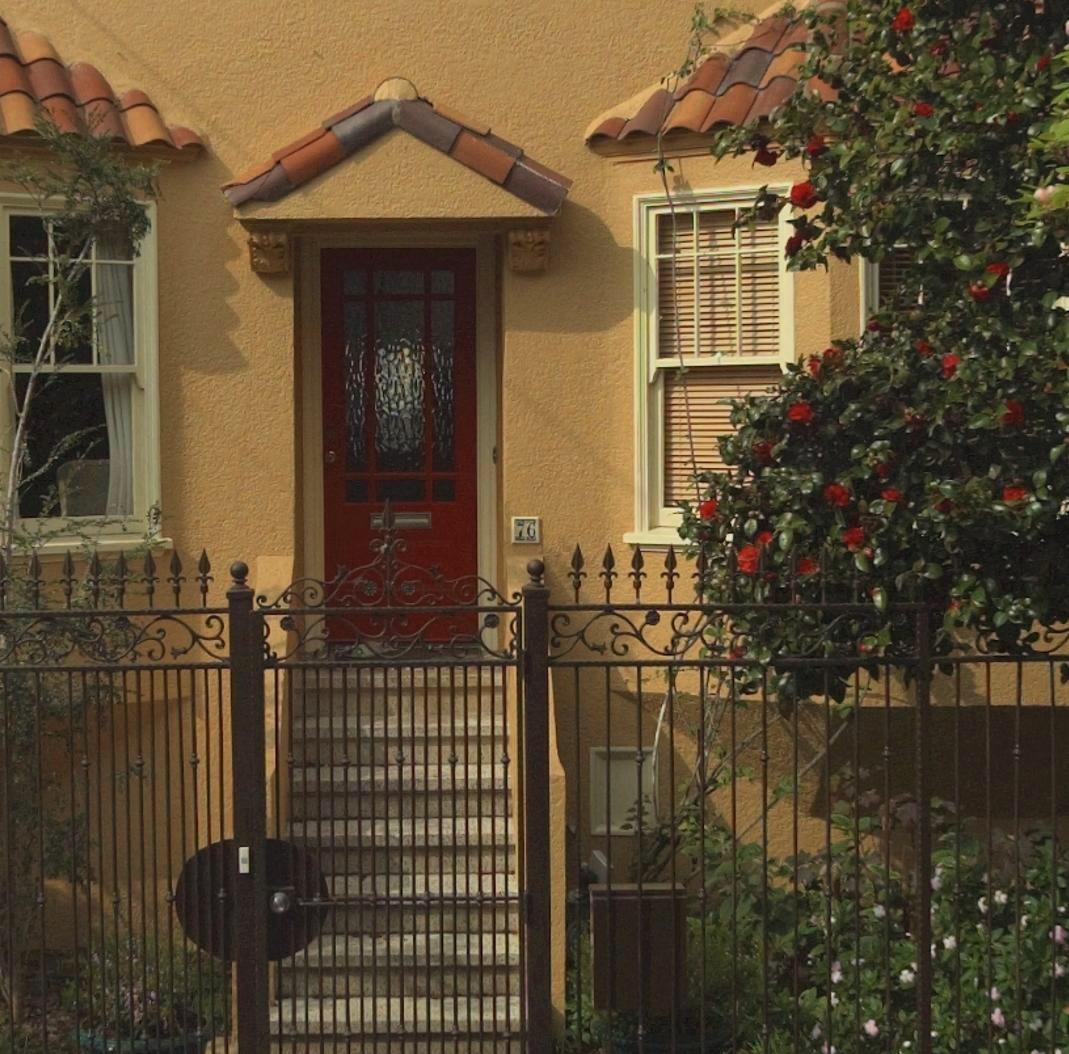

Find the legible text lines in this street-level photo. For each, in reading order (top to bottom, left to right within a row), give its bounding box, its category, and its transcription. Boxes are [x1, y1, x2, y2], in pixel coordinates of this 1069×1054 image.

[515, 519, 537, 538] StreetNumber: 76